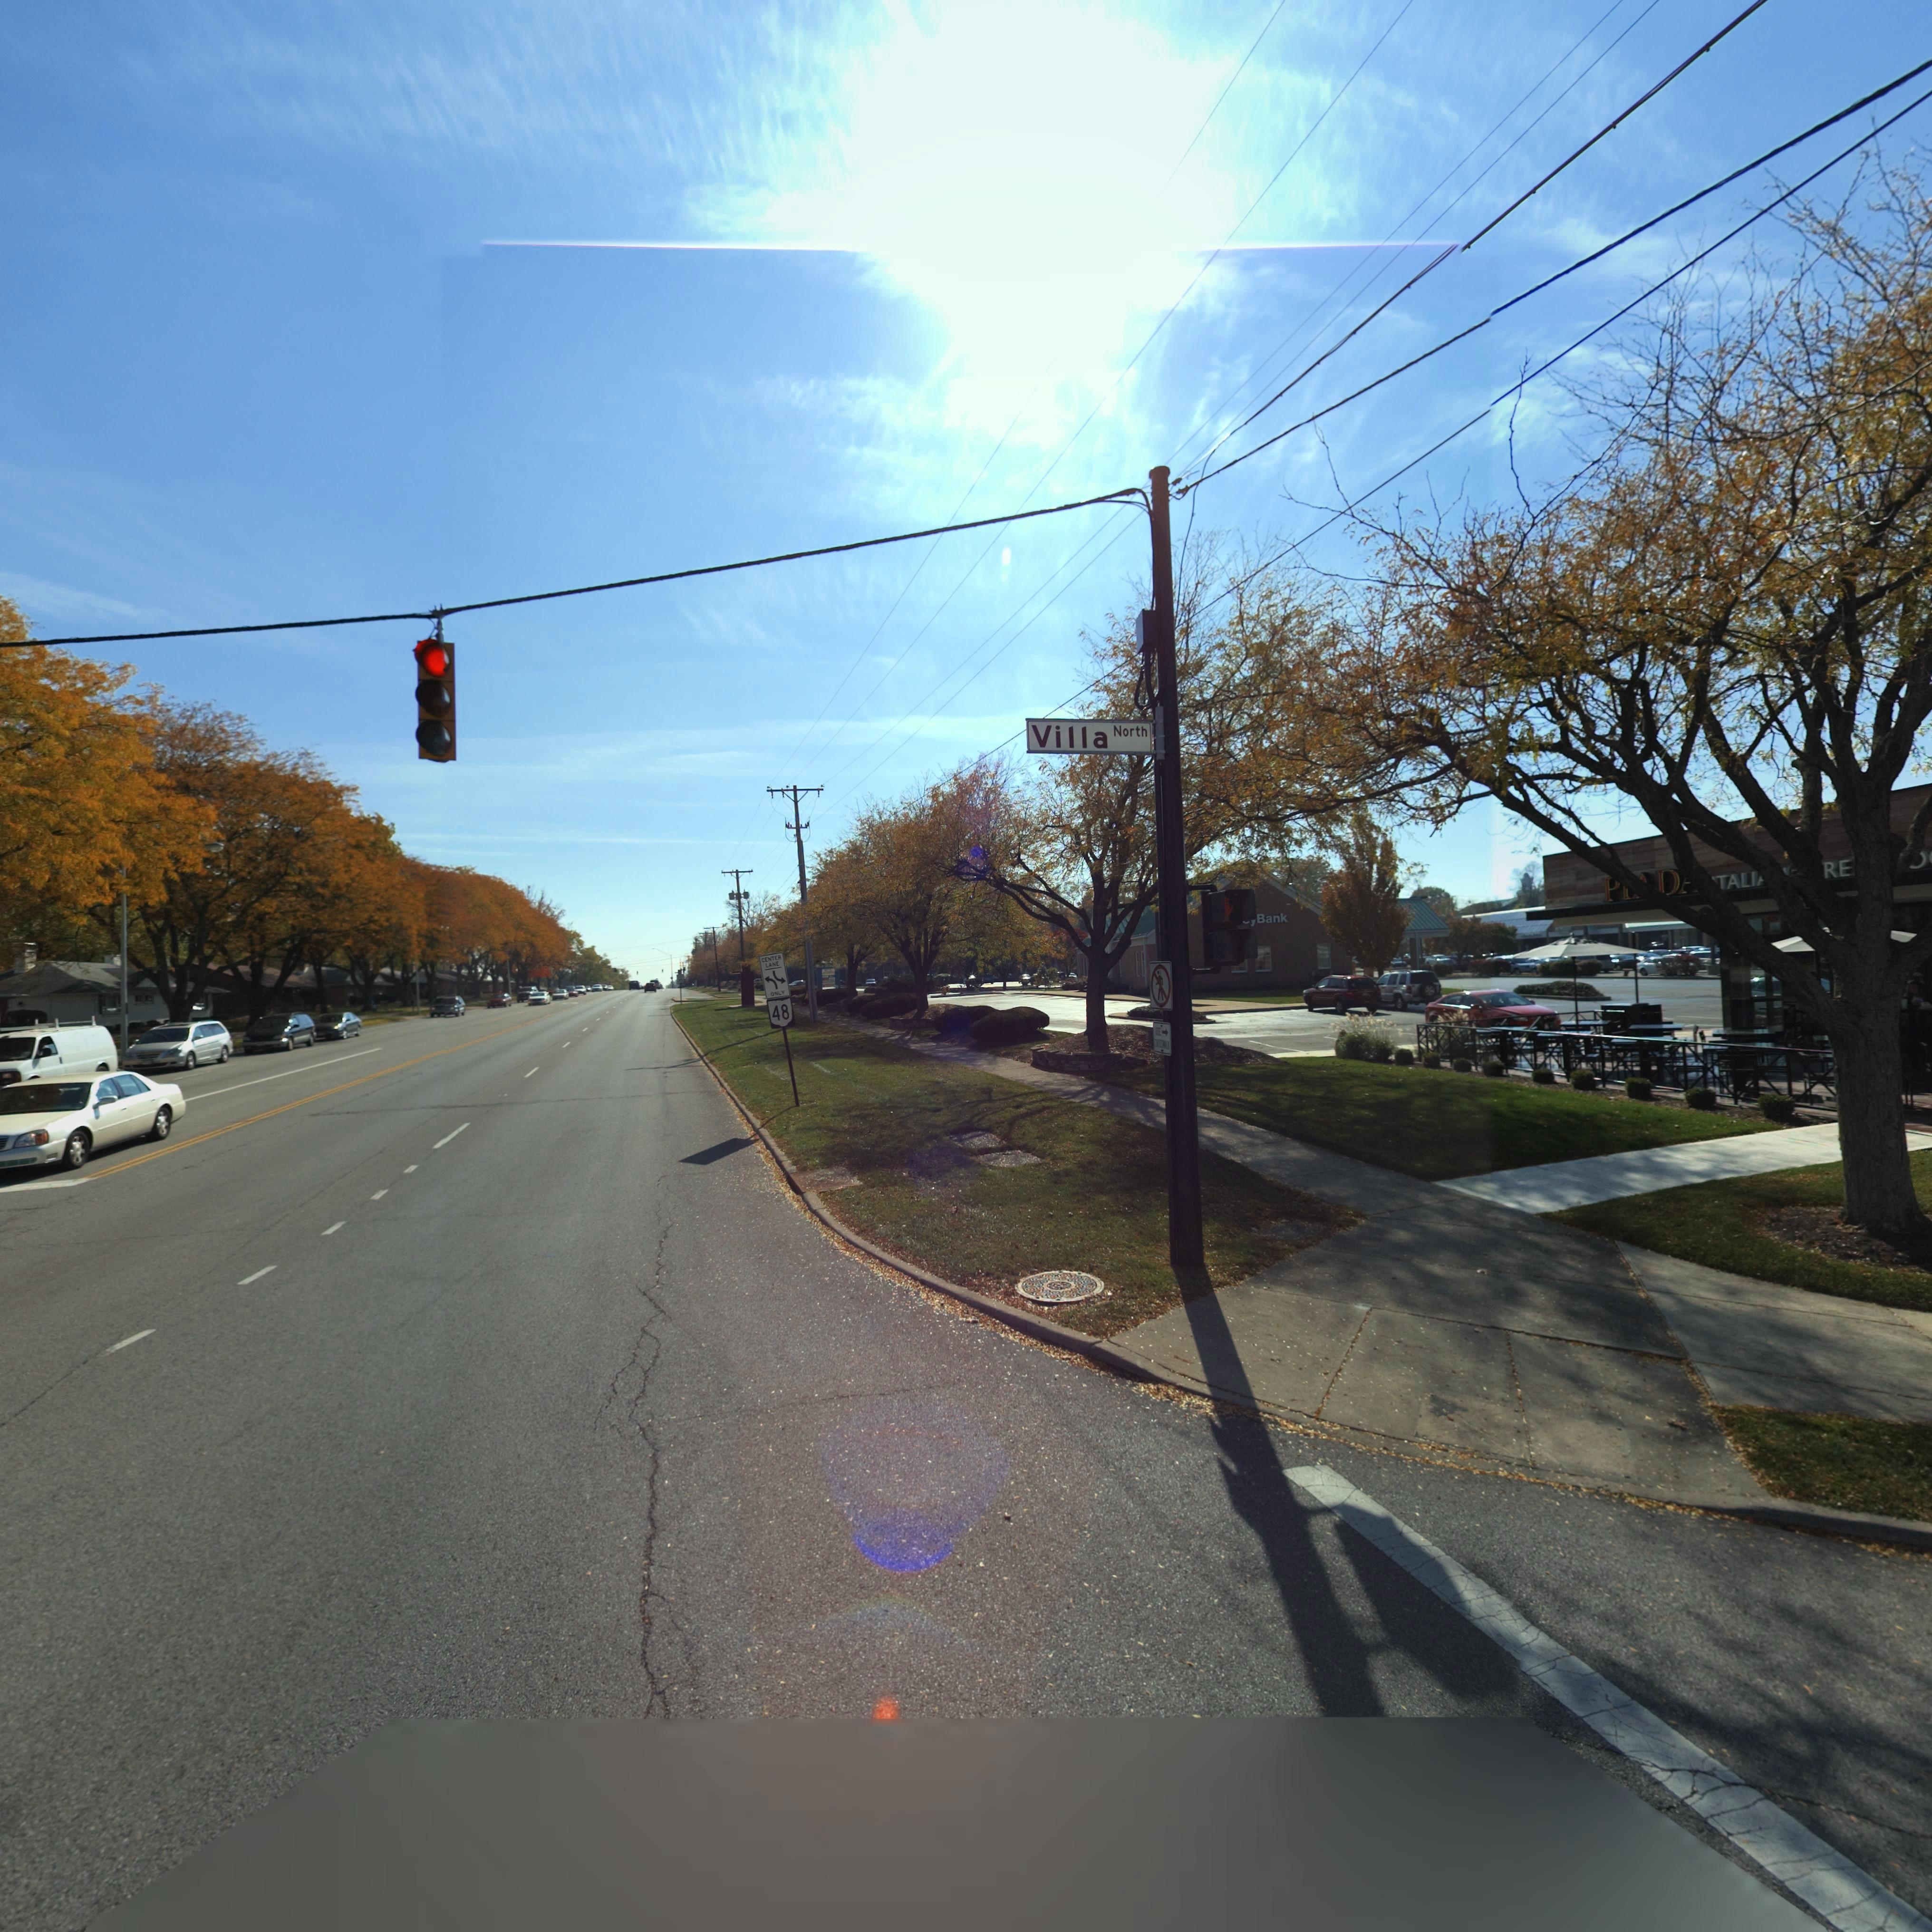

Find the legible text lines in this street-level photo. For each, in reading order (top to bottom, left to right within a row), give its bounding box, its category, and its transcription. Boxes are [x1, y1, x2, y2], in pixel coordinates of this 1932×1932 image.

[1029, 723, 1149, 750] StreetName: Villa North
[1713, 869, 1757, 891] BusinessName: TALI
[1823, 857, 1854, 881] BusinessName: RE
[1256, 911, 1289, 924] BusinessName: Bank